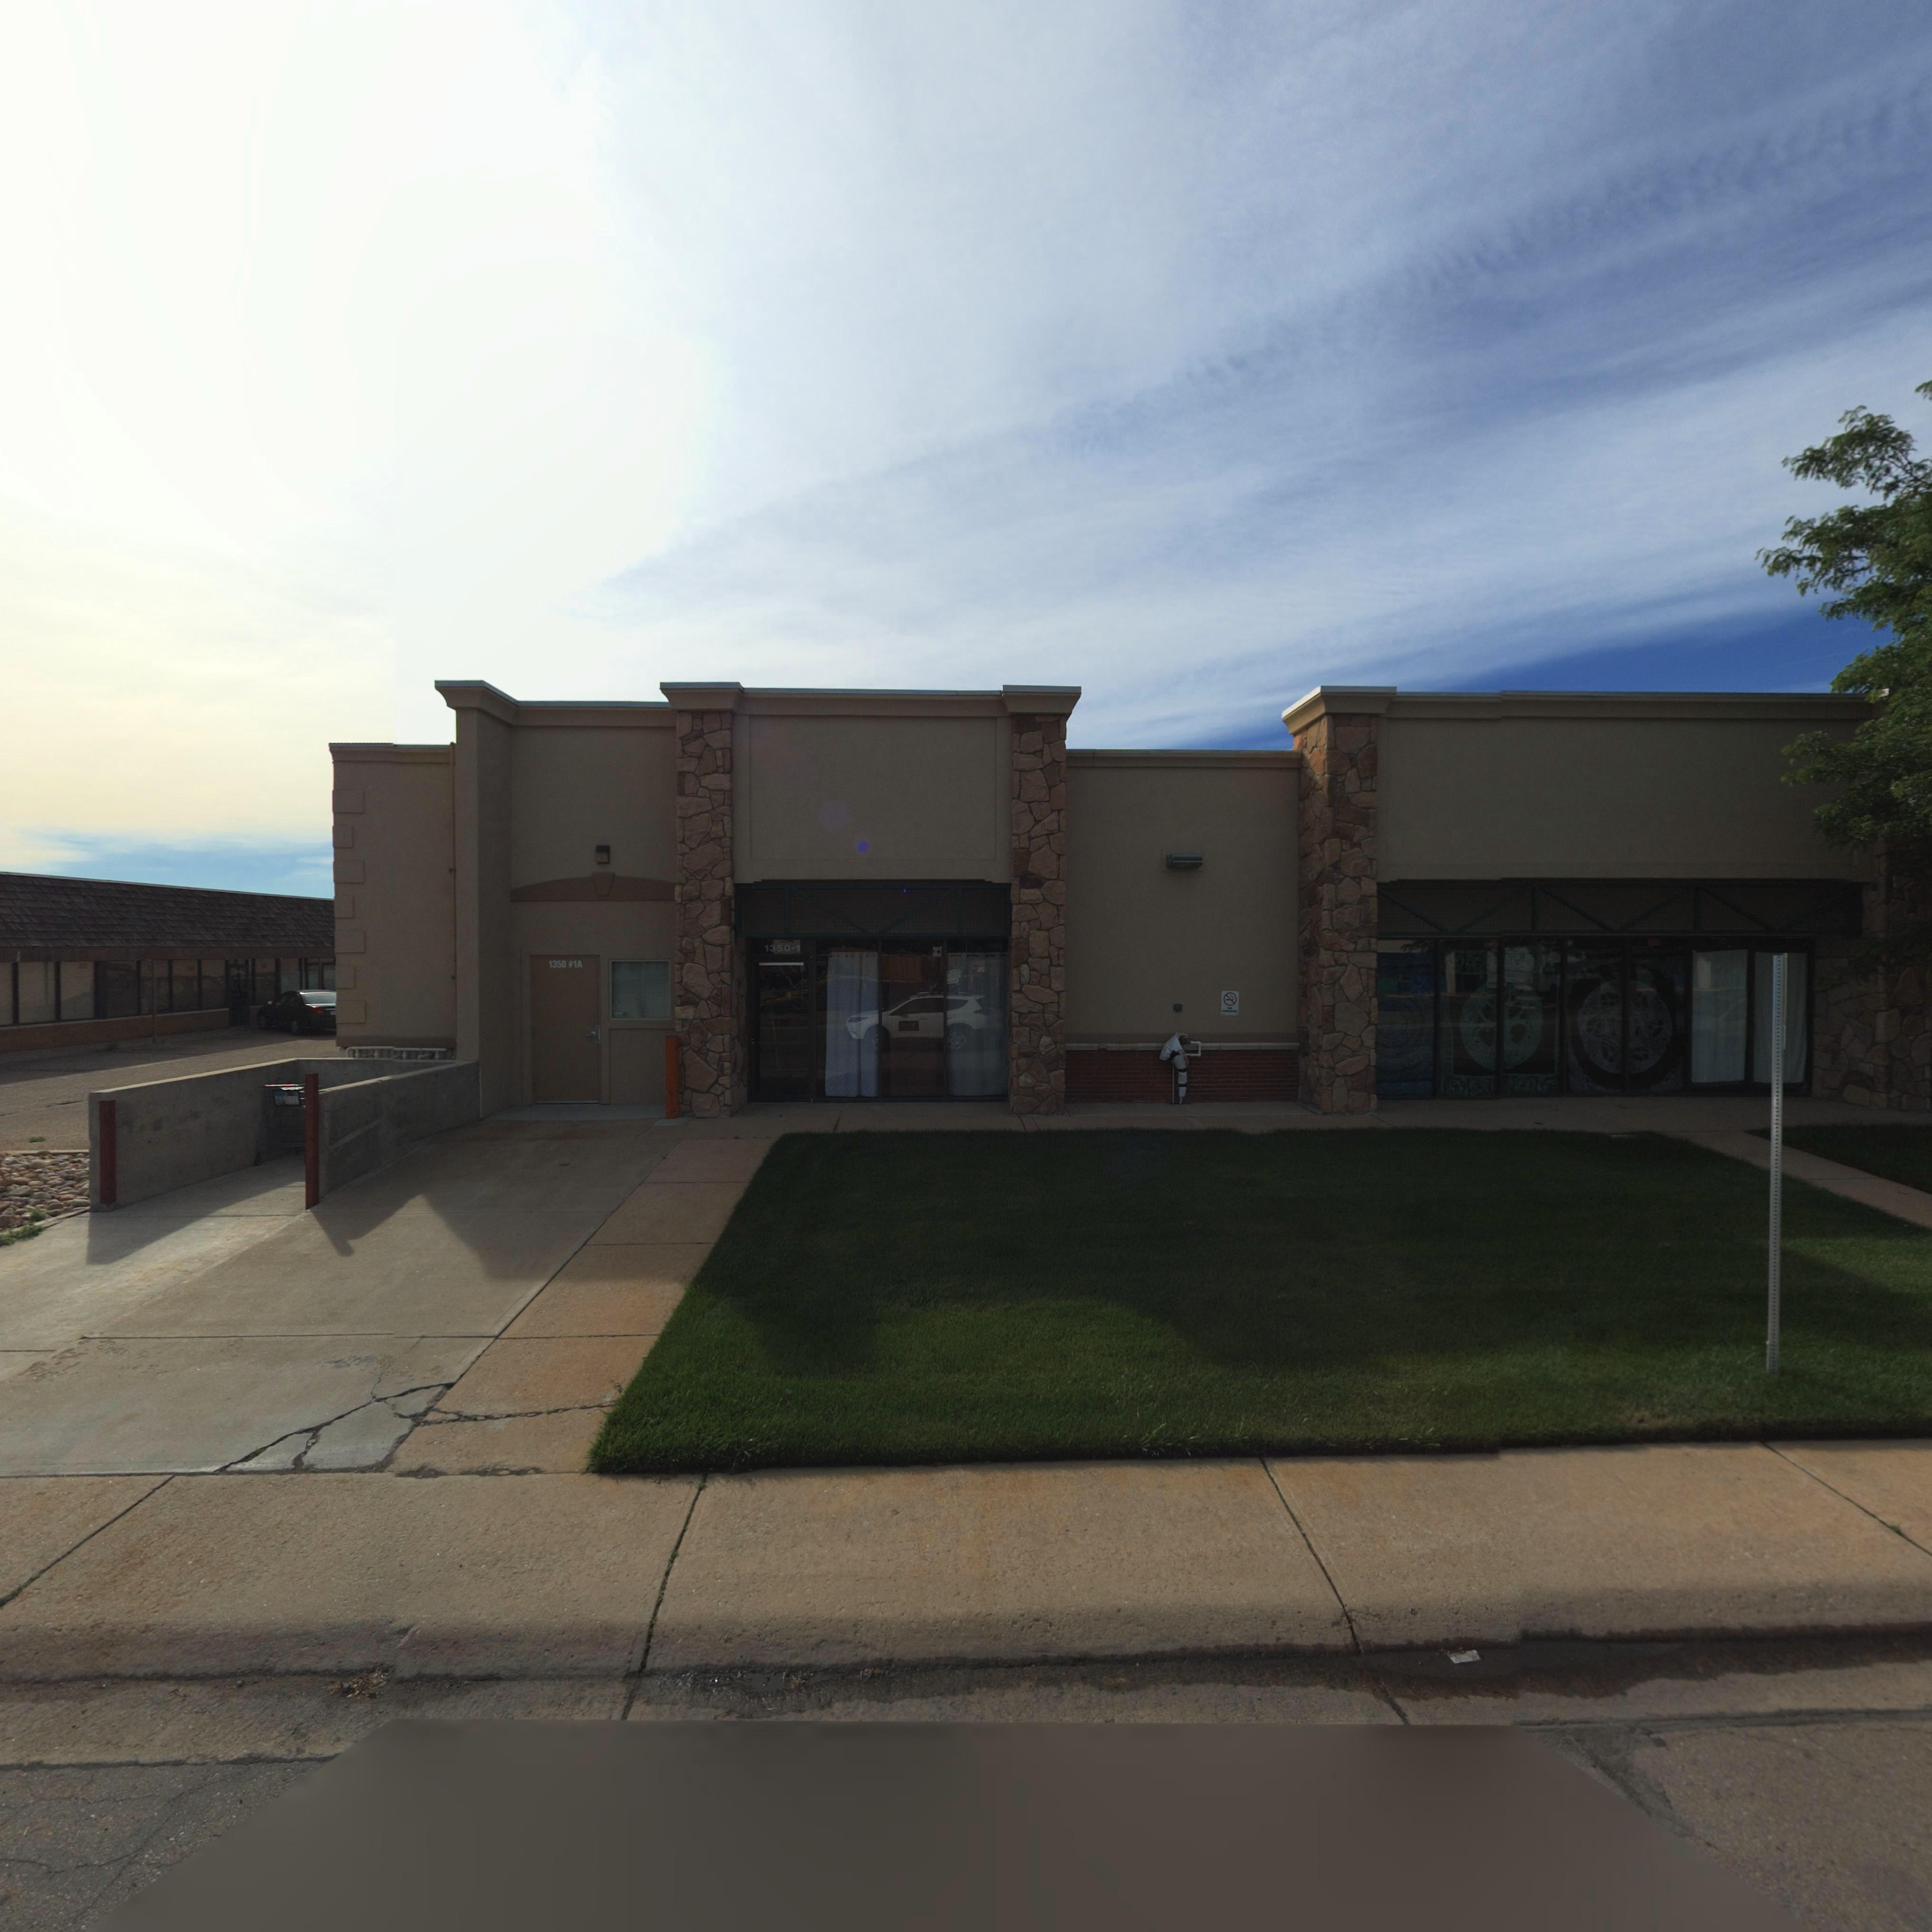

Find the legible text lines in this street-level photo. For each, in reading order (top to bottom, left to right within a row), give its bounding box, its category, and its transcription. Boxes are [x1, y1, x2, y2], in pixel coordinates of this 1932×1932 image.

[764, 943, 802, 954] StreetNumber: 1350-1
[548, 959, 584, 968] StreetNumber: 1350 #1A